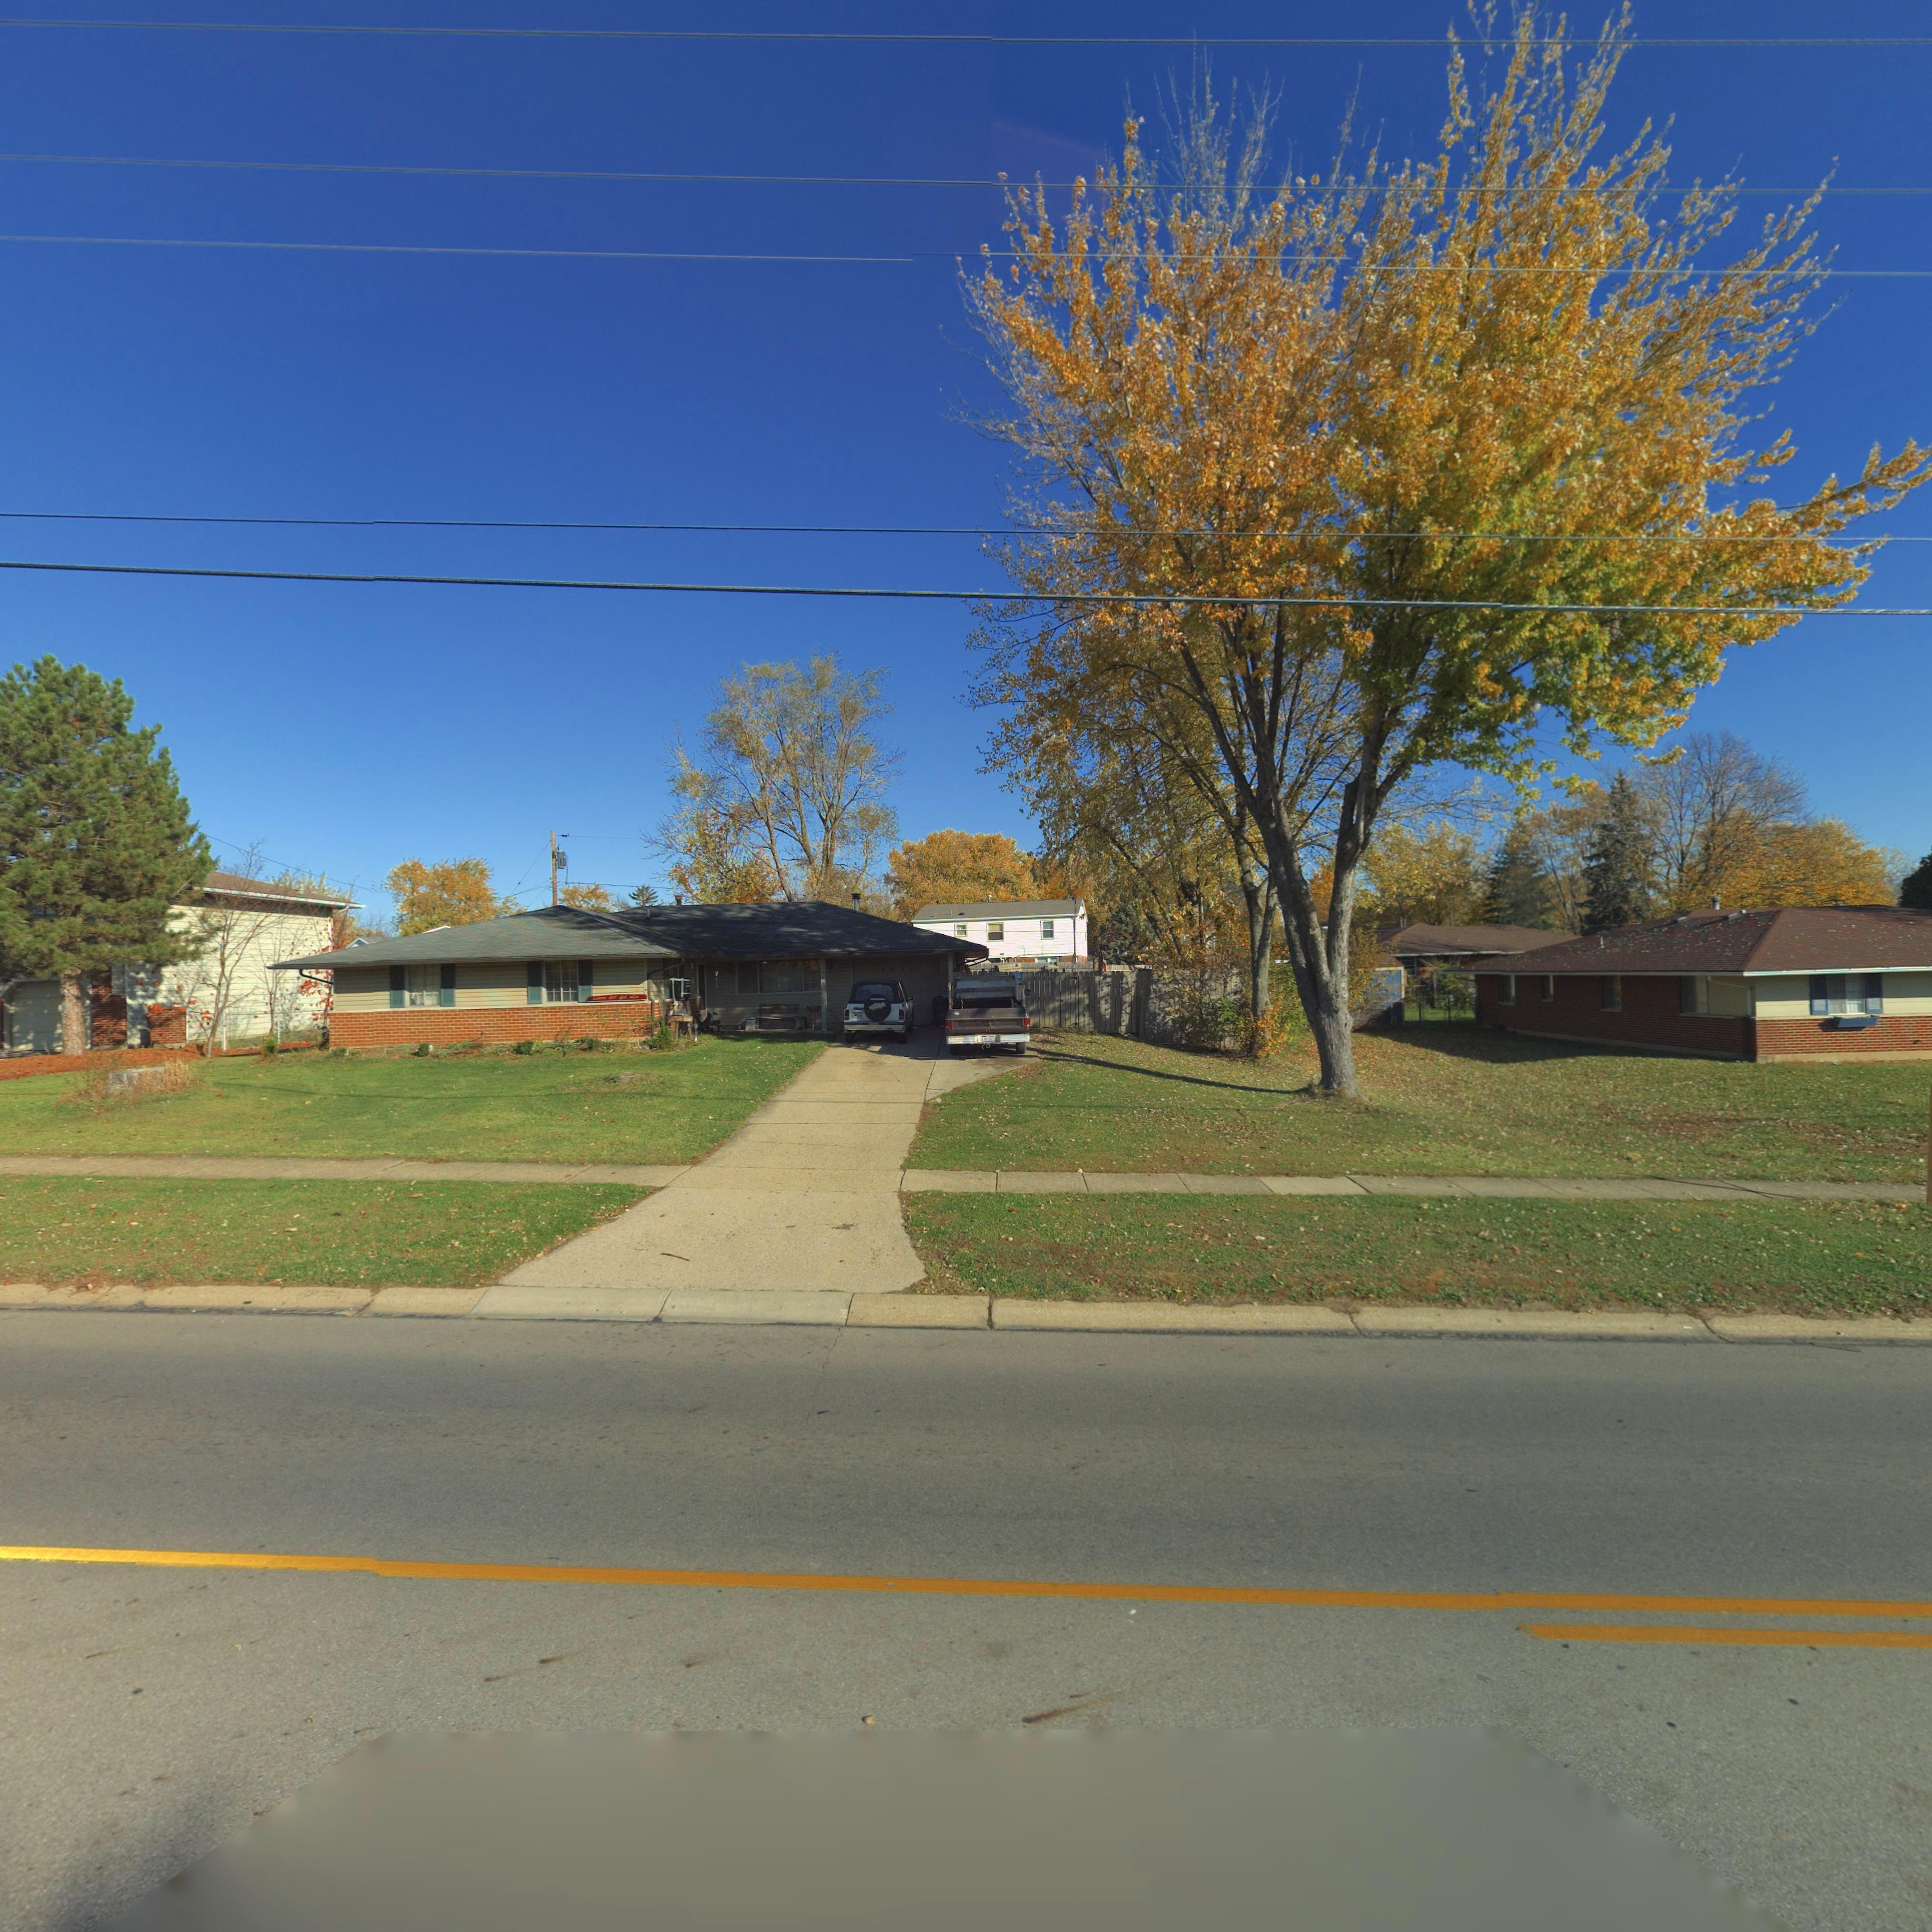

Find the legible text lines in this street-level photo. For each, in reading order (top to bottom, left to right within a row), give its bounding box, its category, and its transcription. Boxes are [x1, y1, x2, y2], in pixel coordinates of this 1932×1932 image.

[821, 965, 825, 987] StreetNumber: *9*5
[881, 966, 914, 972] StreetNumber: 5975